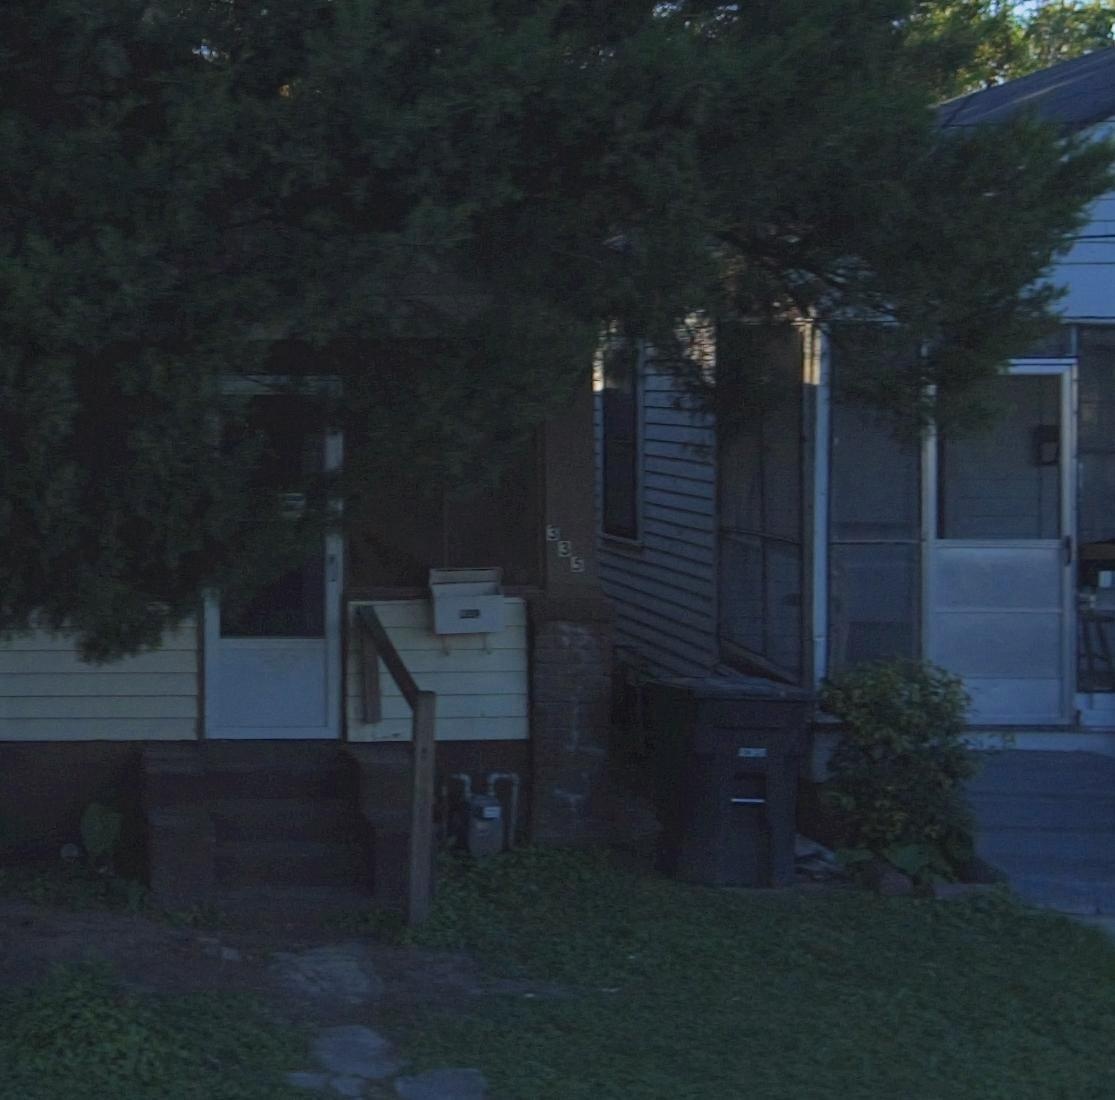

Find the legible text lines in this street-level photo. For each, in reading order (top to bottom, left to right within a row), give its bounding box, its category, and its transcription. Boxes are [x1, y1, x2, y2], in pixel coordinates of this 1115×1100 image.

[545, 523, 585, 574] StreetNumber: 335